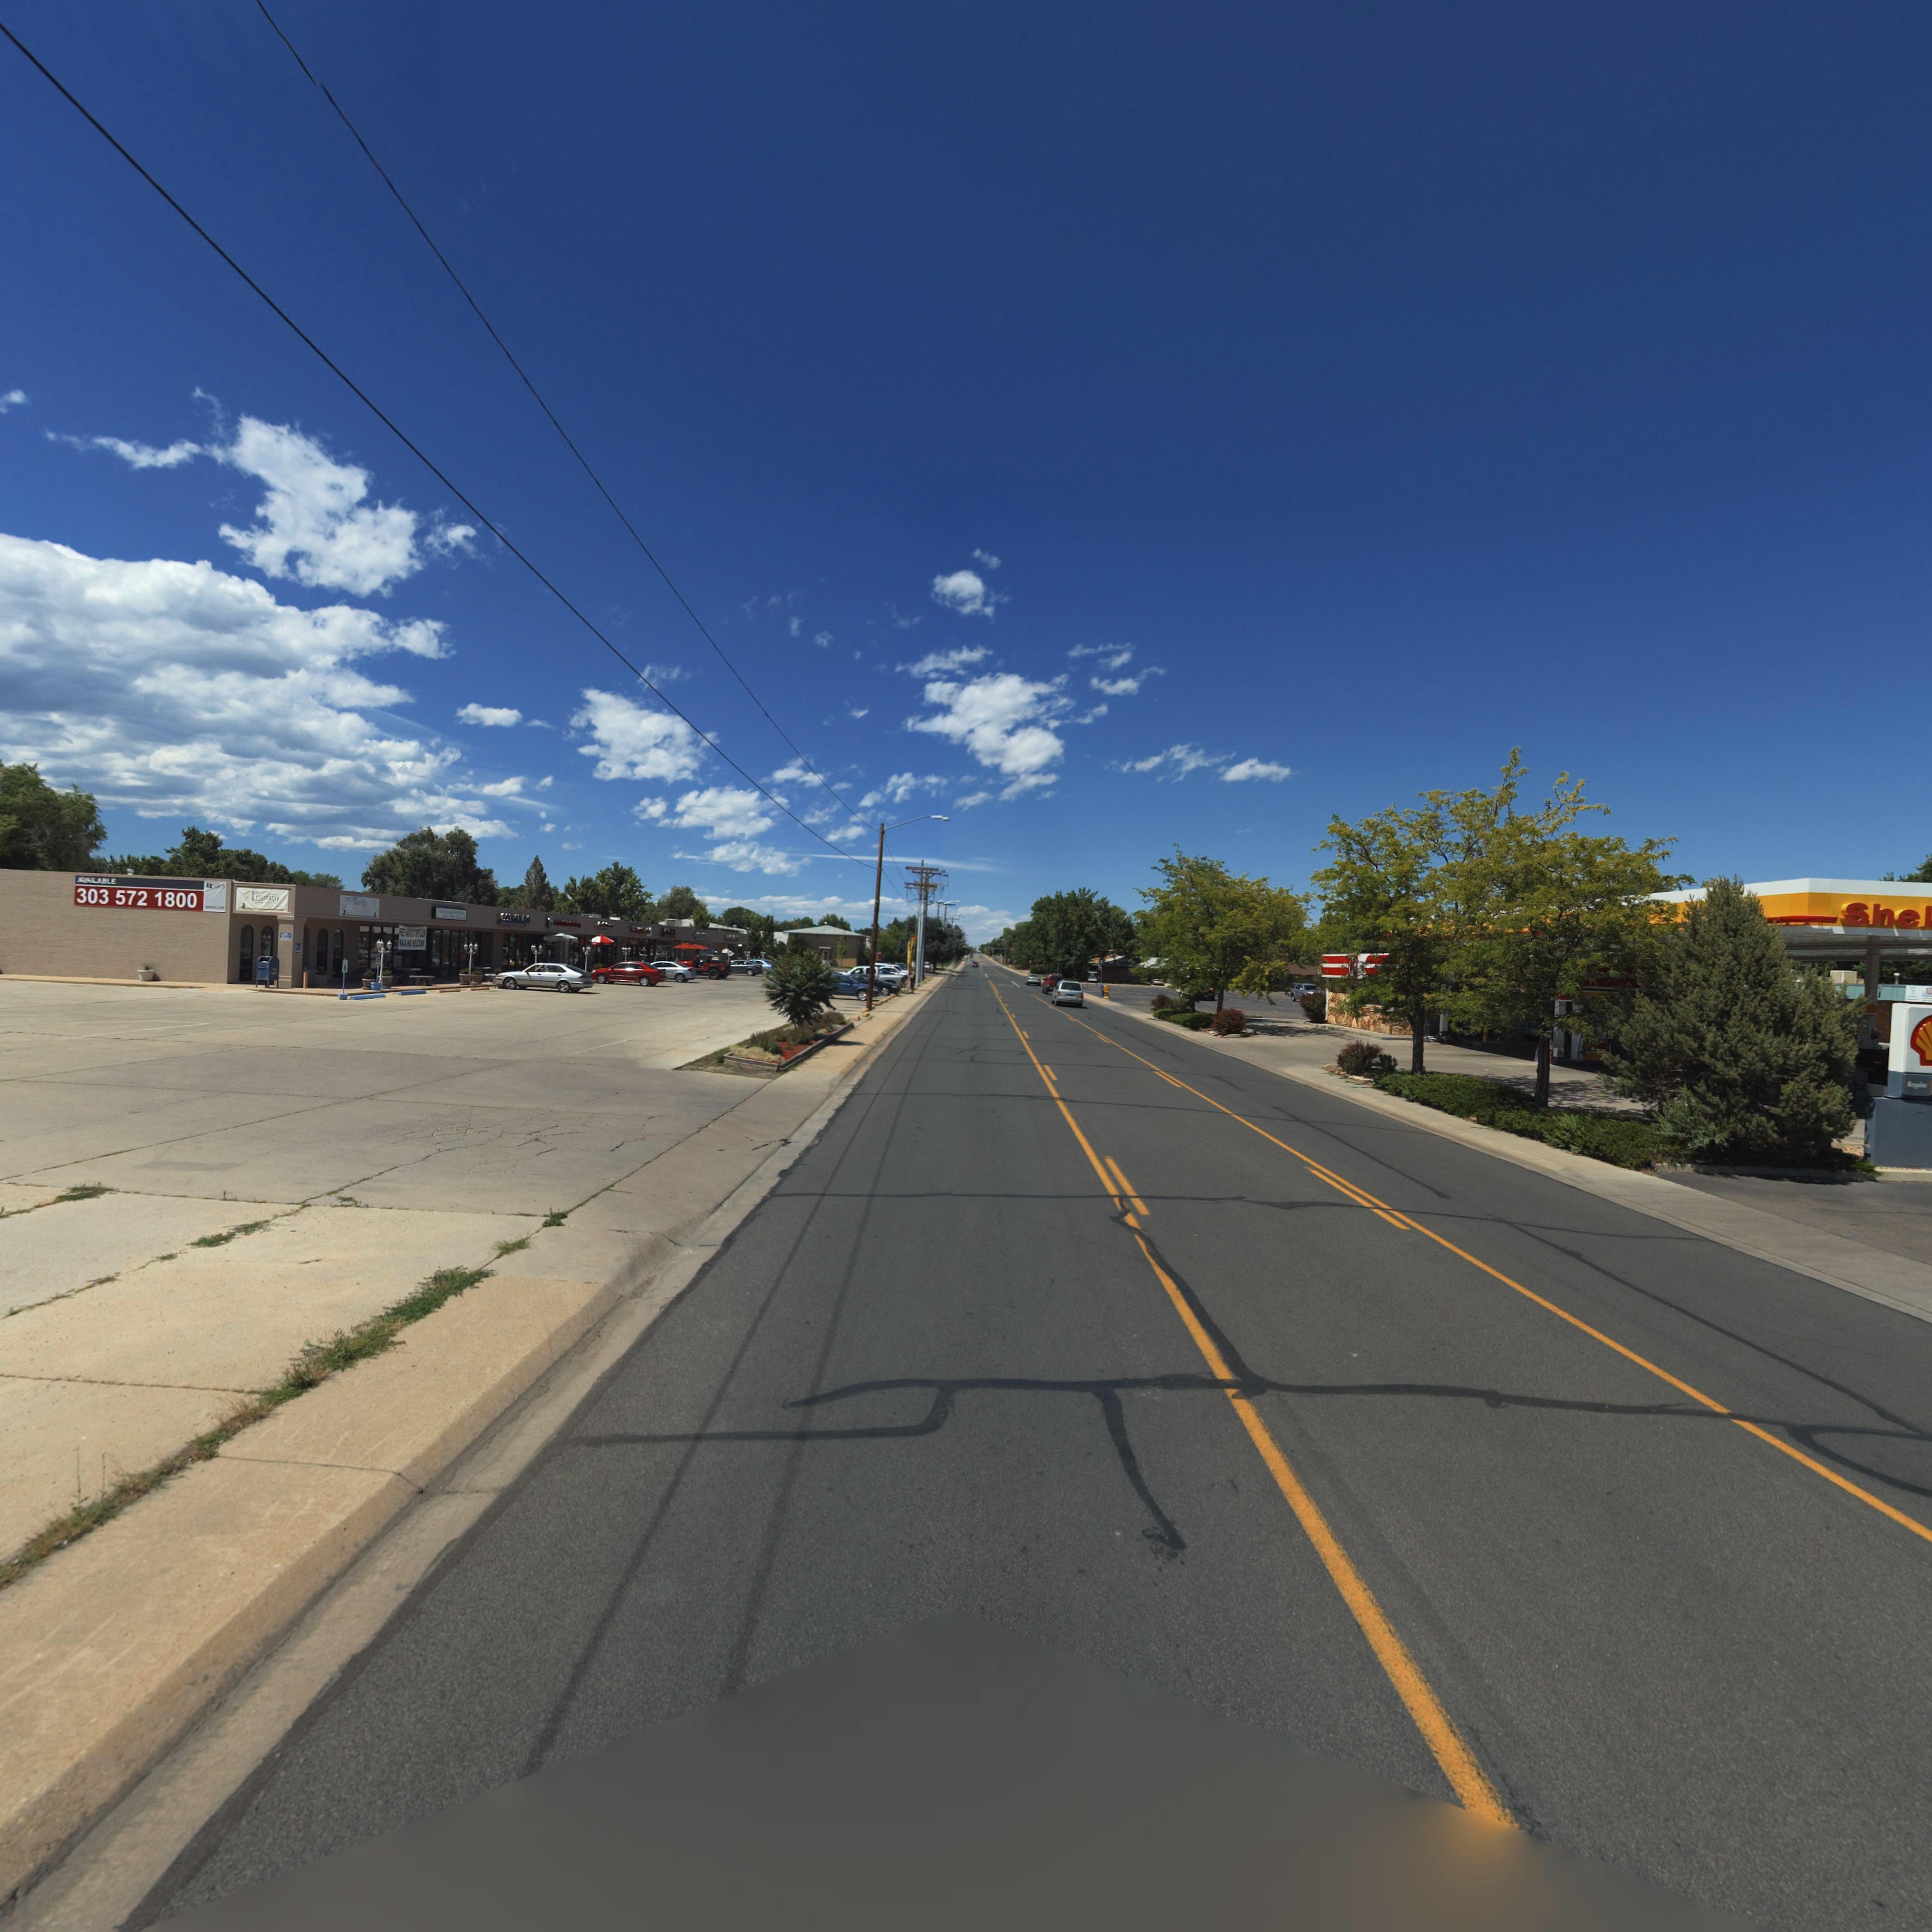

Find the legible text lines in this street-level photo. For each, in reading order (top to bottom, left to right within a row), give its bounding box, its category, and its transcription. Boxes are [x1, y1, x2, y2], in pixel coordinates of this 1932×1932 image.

[251, 889, 280, 904] BusinessName: Energy
[353, 896, 367, 908] StreetName: Energy
[438, 908, 464, 915] BusinessName: S** *** ***
[1838, 897, 1922, 929] BusinessName: She